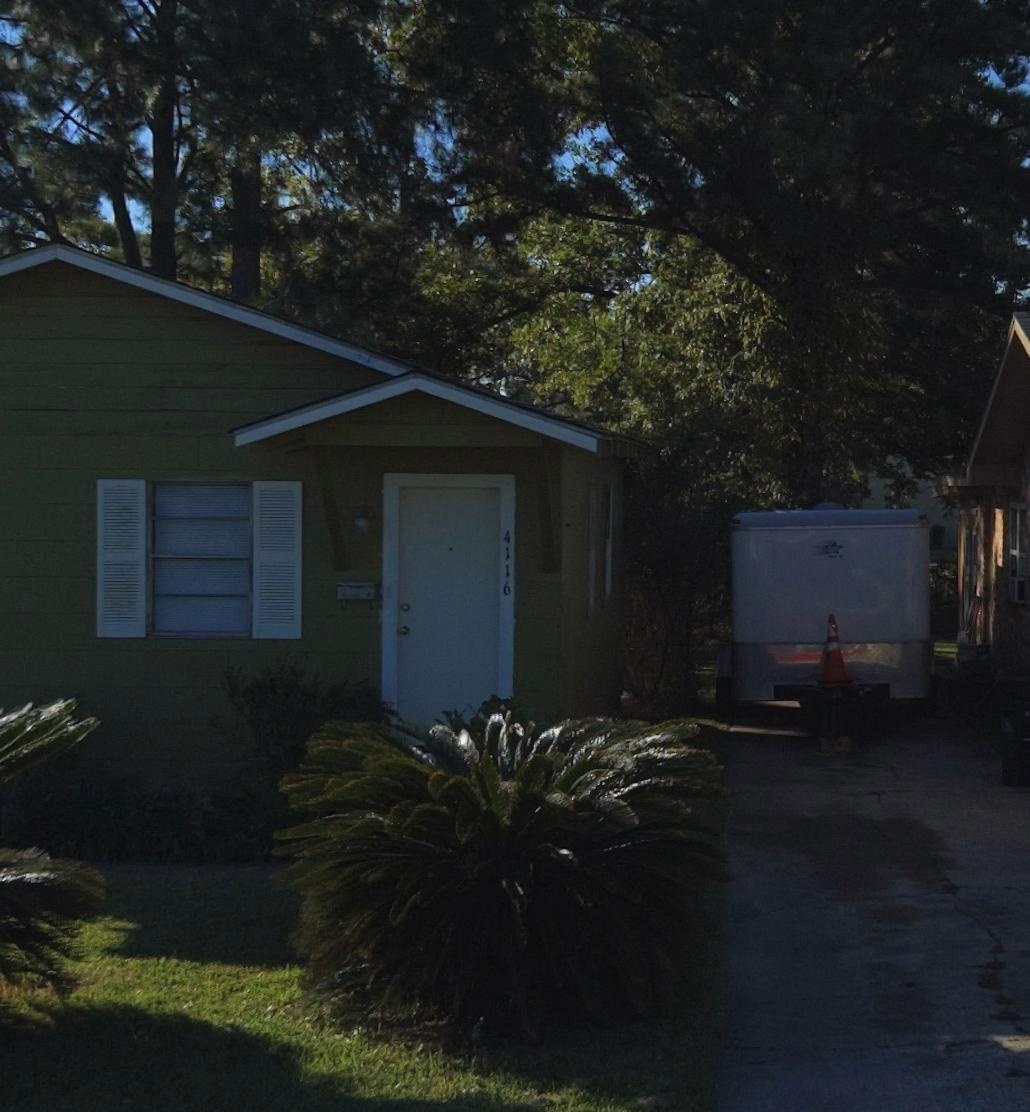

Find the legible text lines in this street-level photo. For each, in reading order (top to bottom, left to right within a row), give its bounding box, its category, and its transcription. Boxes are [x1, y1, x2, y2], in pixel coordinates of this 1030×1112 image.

[501, 528, 513, 598] StreetNumber: 4116